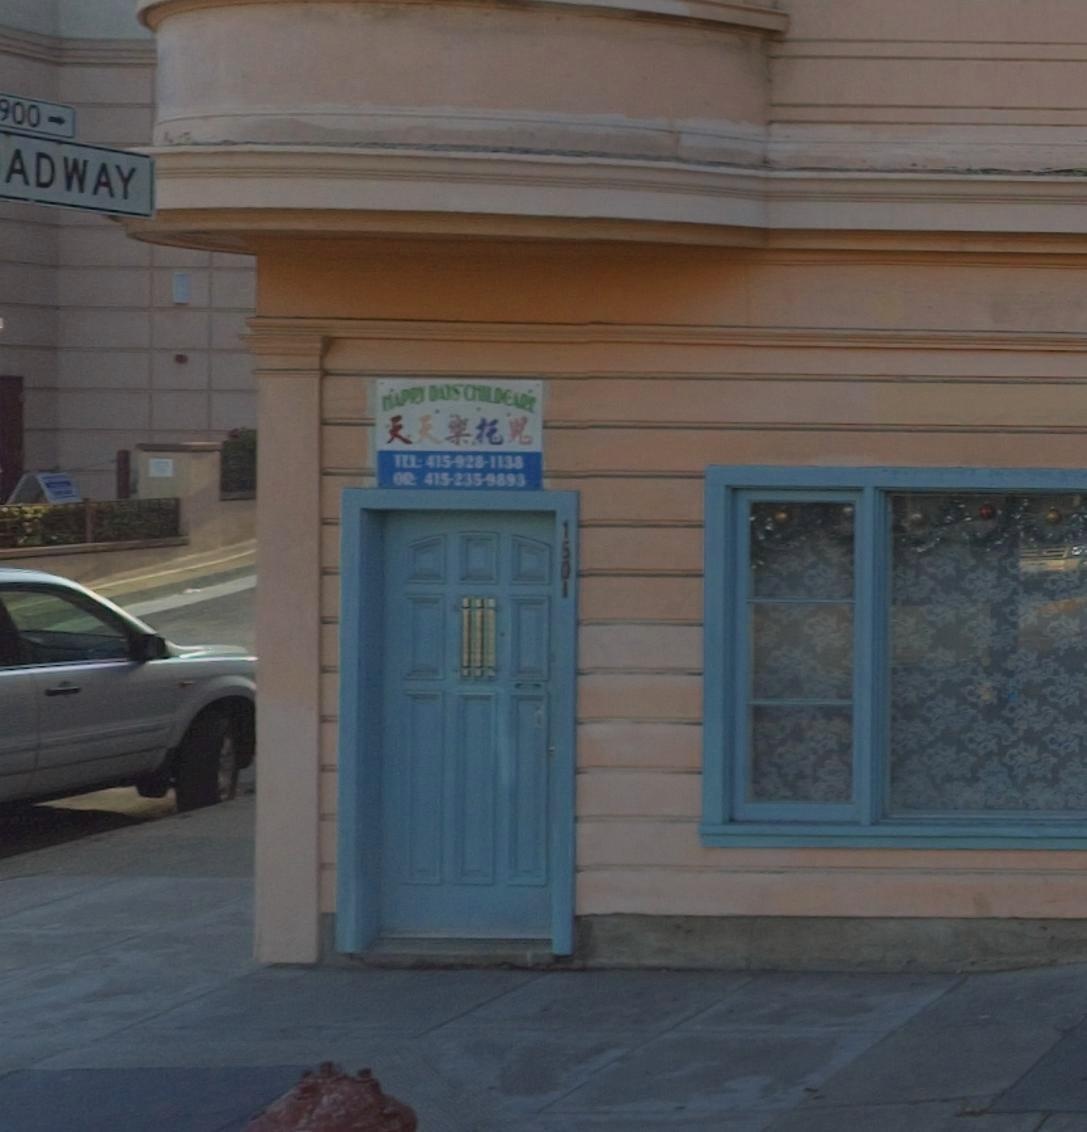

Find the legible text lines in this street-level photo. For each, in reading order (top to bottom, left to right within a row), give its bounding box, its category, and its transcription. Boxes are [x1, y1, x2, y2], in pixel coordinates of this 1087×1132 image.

[11, 99, 70, 136] StreetNumberRange: 00->
[2, 145, 138, 205] StreetName: ADWAY
[379, 384, 539, 416] BusinessName: HAPPY DAYS CHILDCARE
[392, 451, 525, 471] None: TEL: 415-928-1138
[392, 470, 527, 490] None: OR: 415-235-9893
[555, 515, 577, 604] StreetNumber: 1501